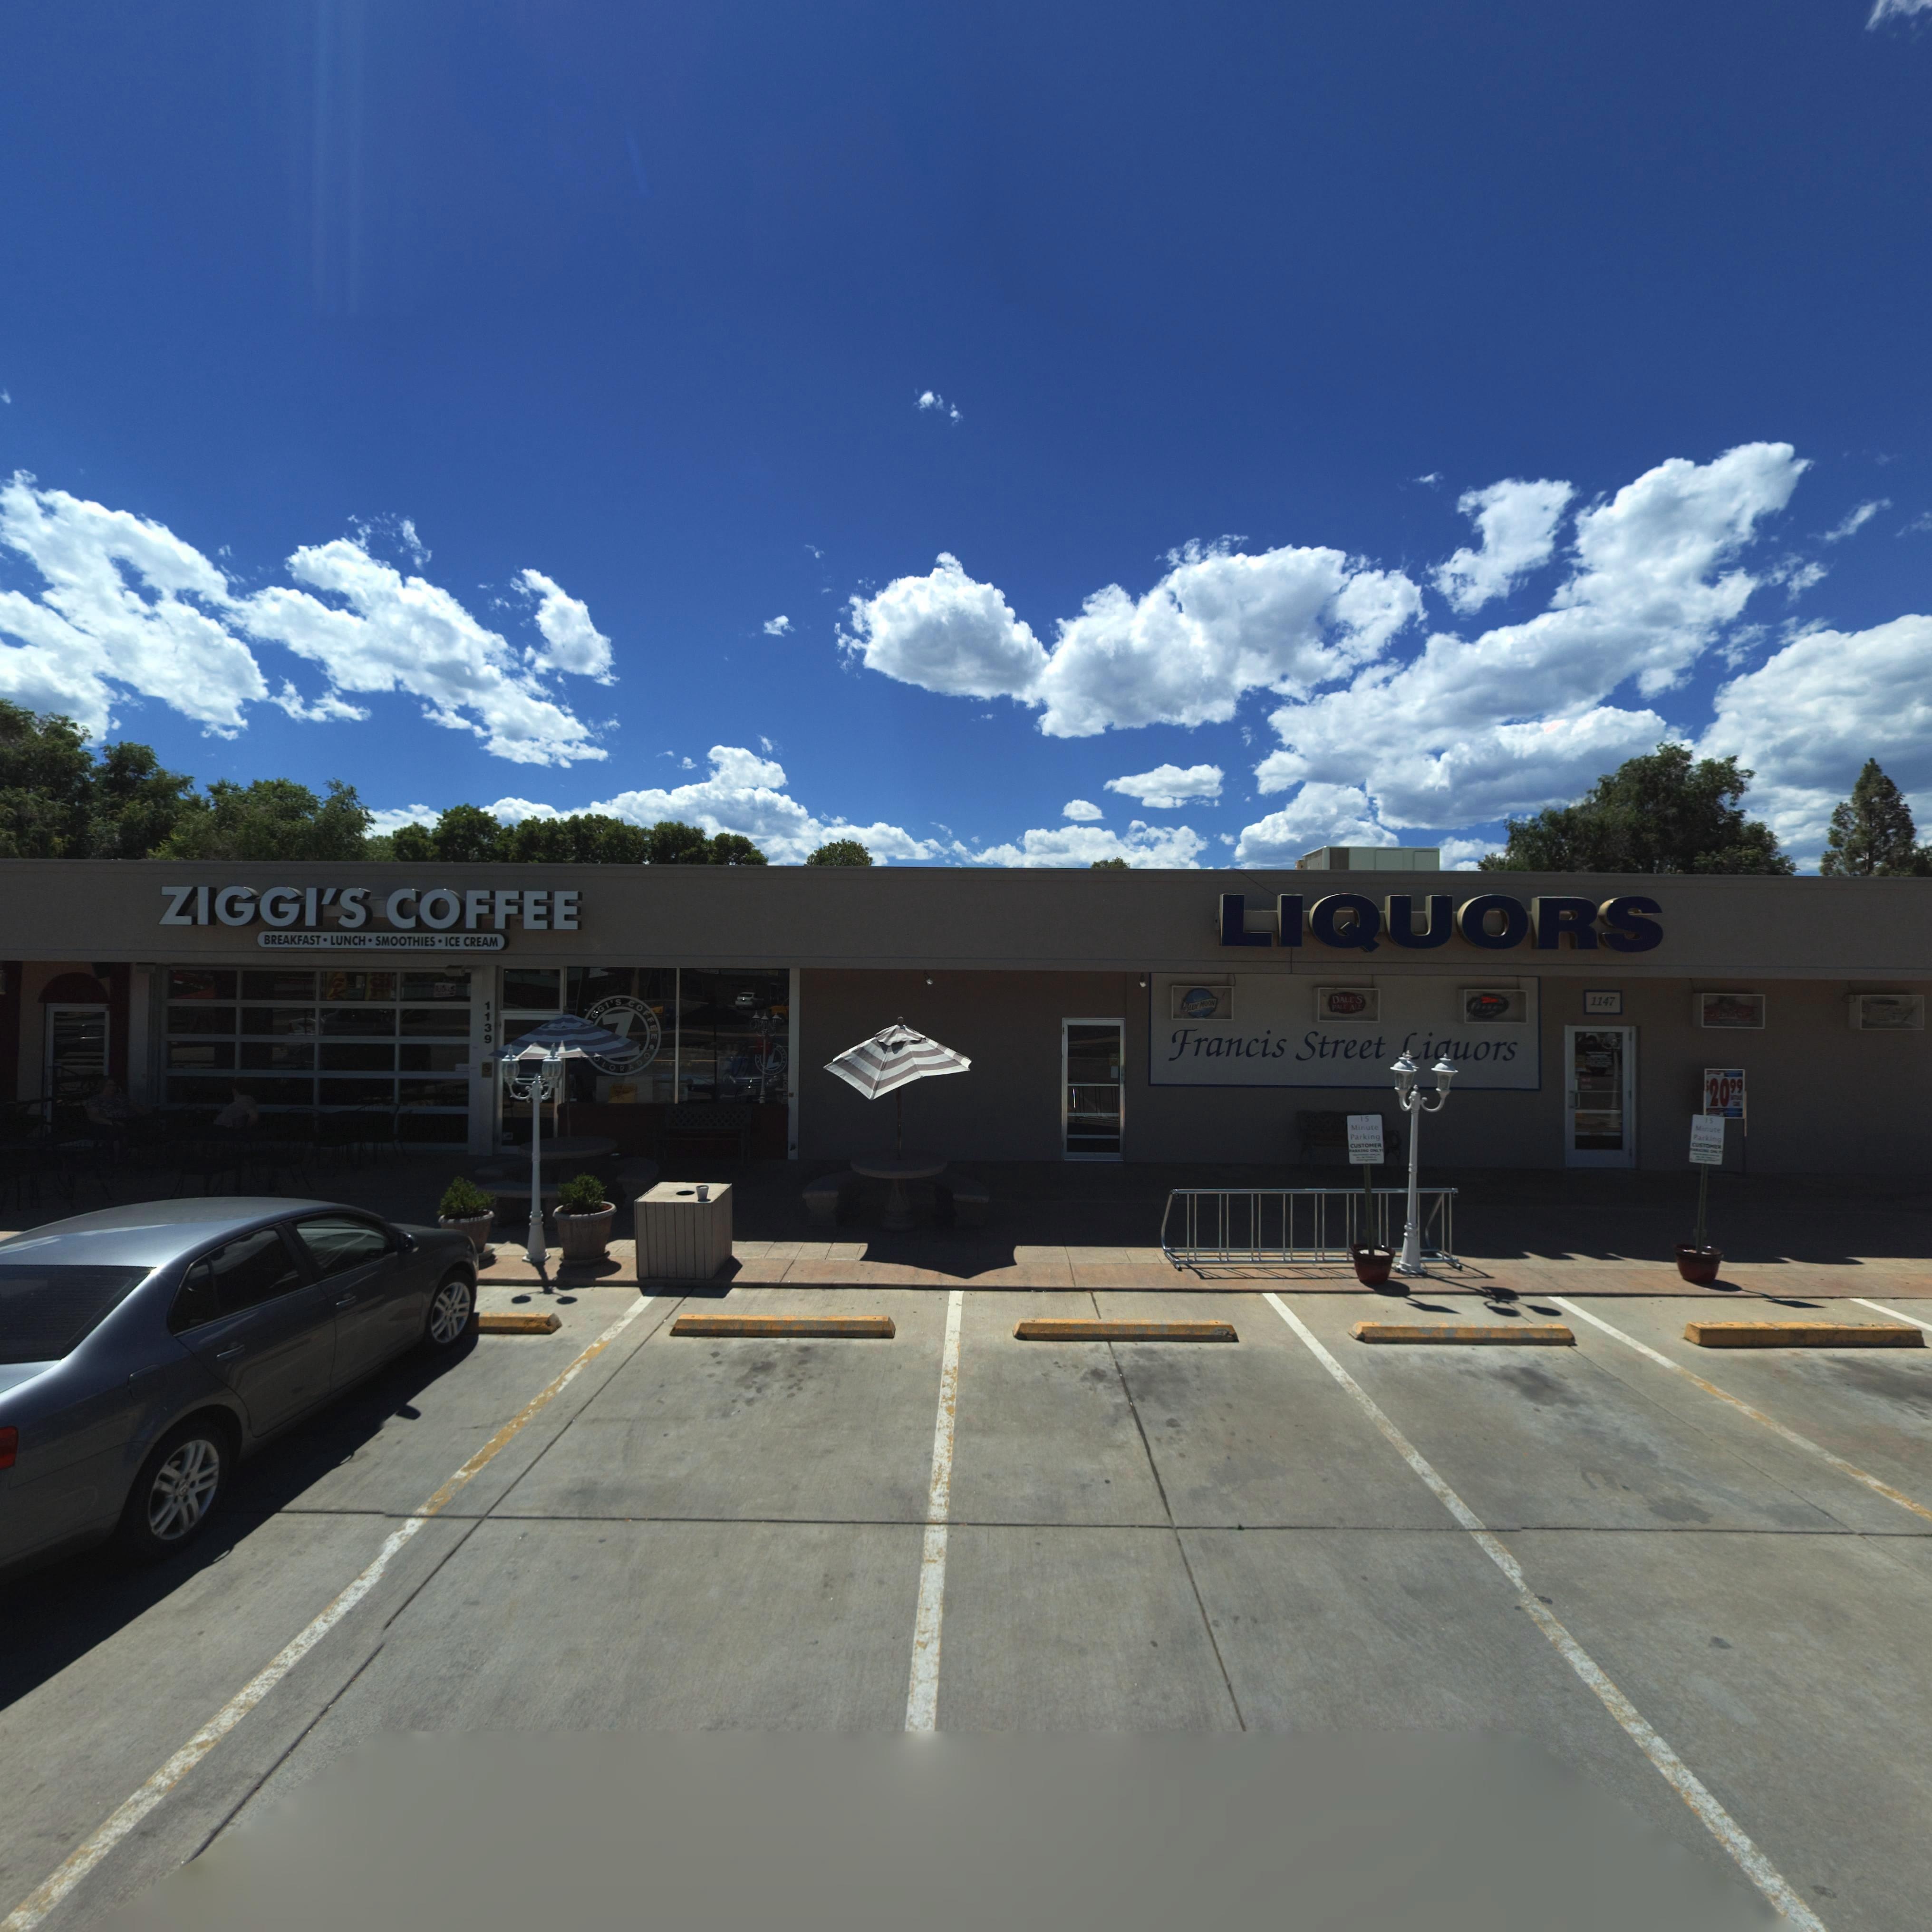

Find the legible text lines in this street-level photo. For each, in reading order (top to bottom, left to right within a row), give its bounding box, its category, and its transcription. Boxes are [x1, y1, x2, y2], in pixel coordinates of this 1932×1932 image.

[156, 884, 580, 930] BusinessName: ZIGGI*S
[1220, 892, 1664, 955] BusinessName: LIQUORS
[483, 1000, 492, 1044] StreetNumber: 1139
[586, 998, 657, 1040] BusinessName: *GGI*S COFFEE
[1590, 995, 1616, 1007] StreetNumber: 1147
[1167, 1027, 1520, 1062] BusinessName: Francis Street Liquors 